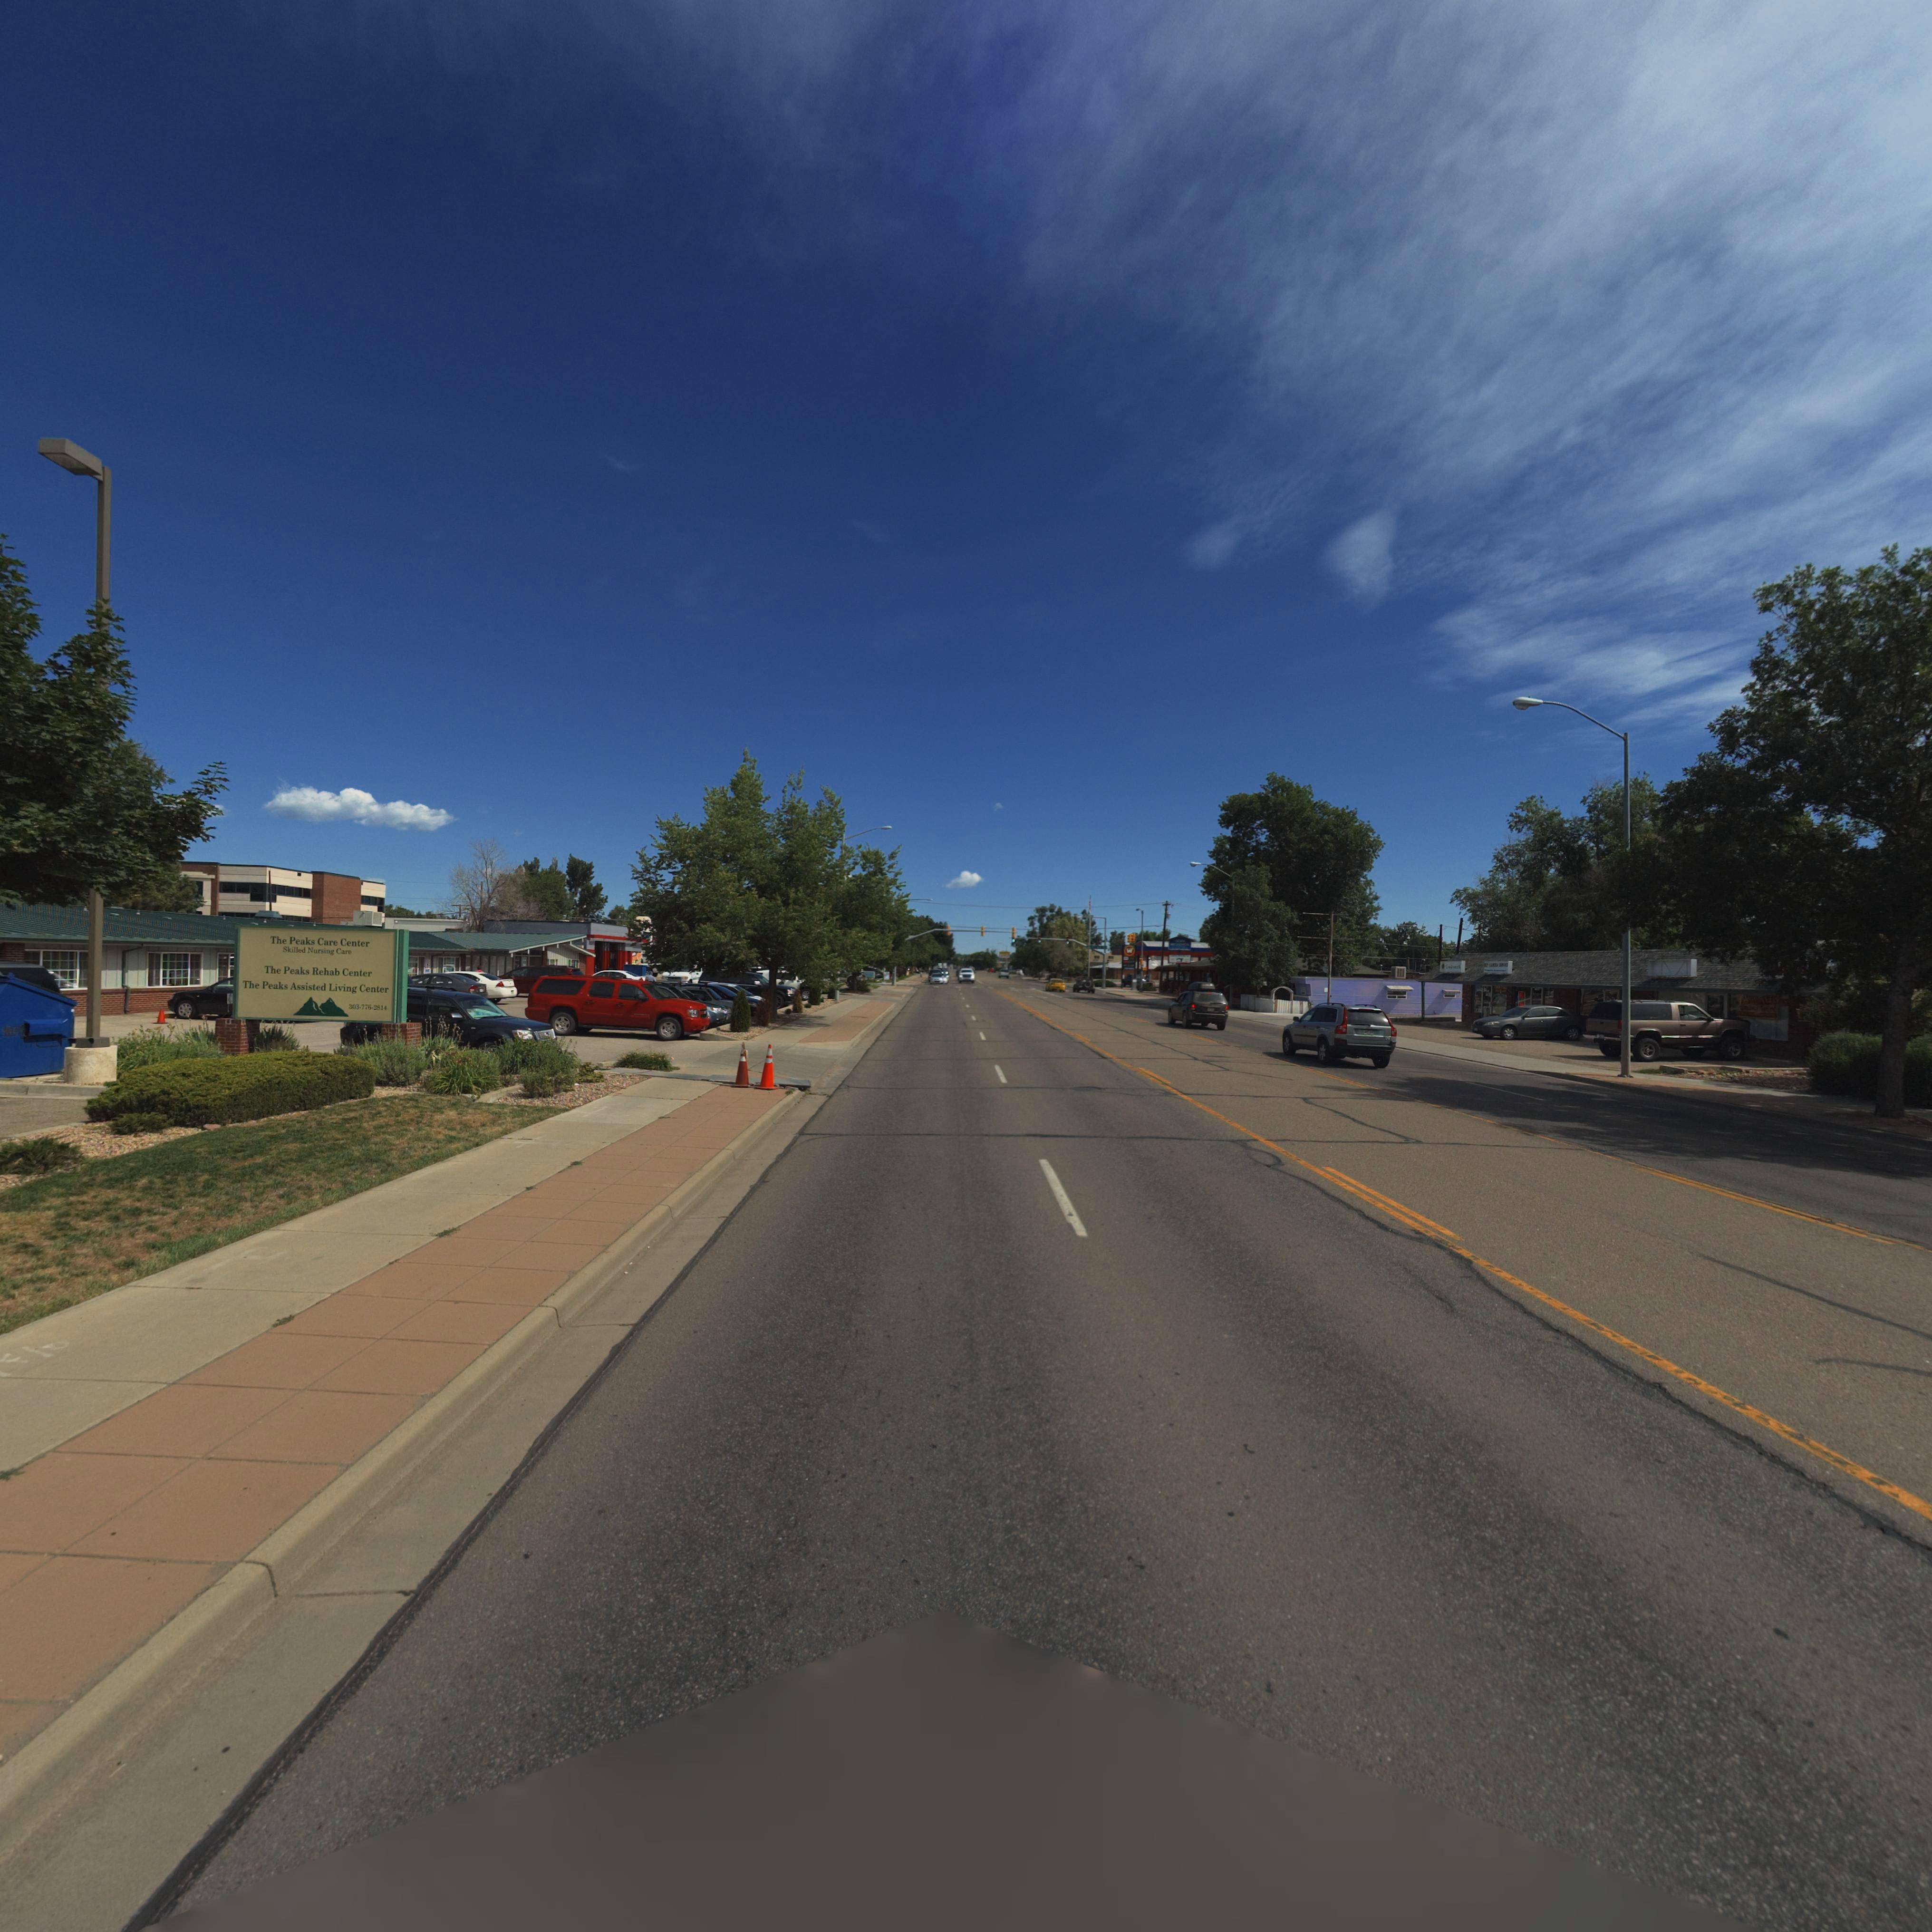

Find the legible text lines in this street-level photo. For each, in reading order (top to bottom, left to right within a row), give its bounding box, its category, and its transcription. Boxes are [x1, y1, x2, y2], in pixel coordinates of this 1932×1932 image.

[269, 935, 370, 948] BusinessName: The Peaks Care Center
[1126, 948, 1132, 953] BusinessName: W